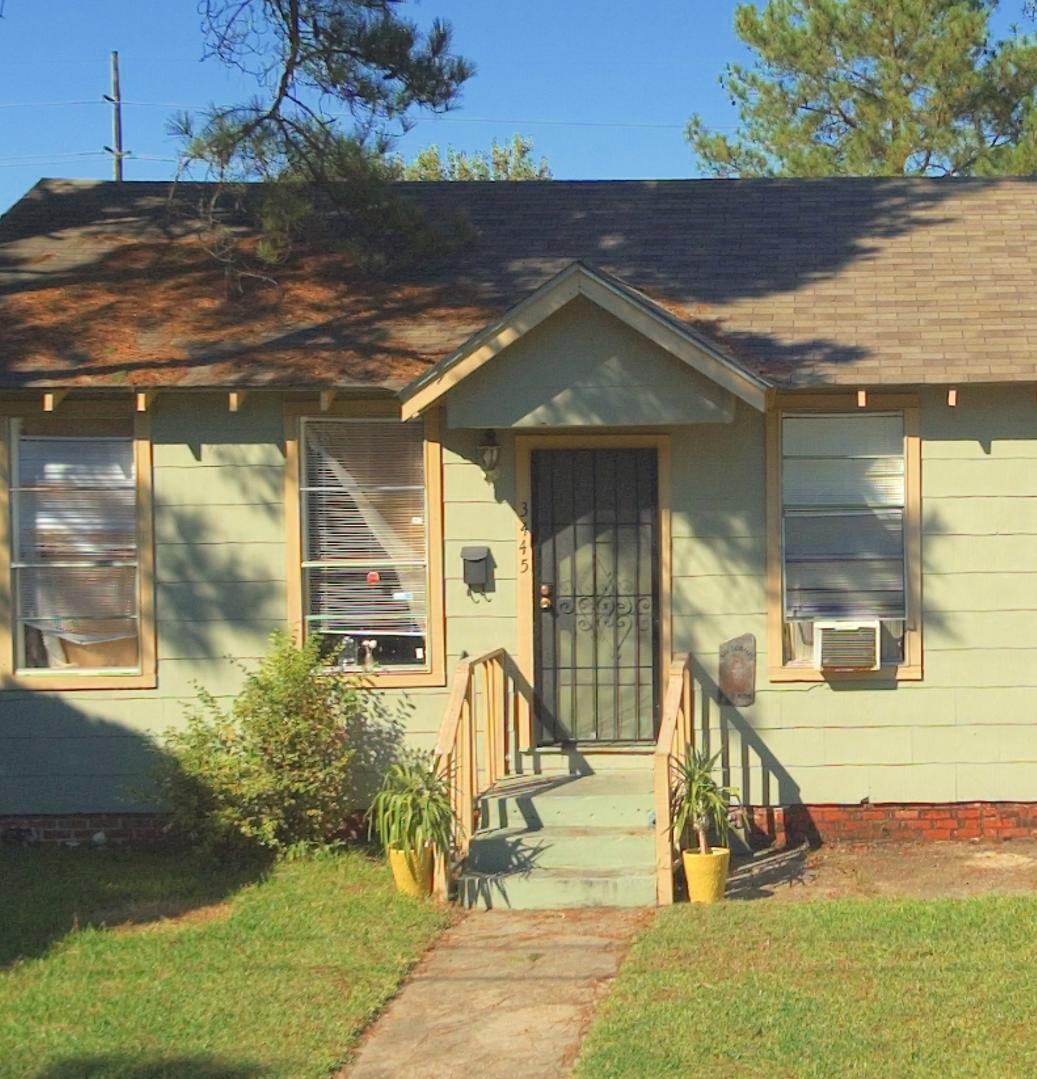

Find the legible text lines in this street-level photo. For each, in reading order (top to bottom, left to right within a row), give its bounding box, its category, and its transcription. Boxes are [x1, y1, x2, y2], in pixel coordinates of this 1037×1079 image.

[517, 500, 531, 576] StreetNumber: 3445